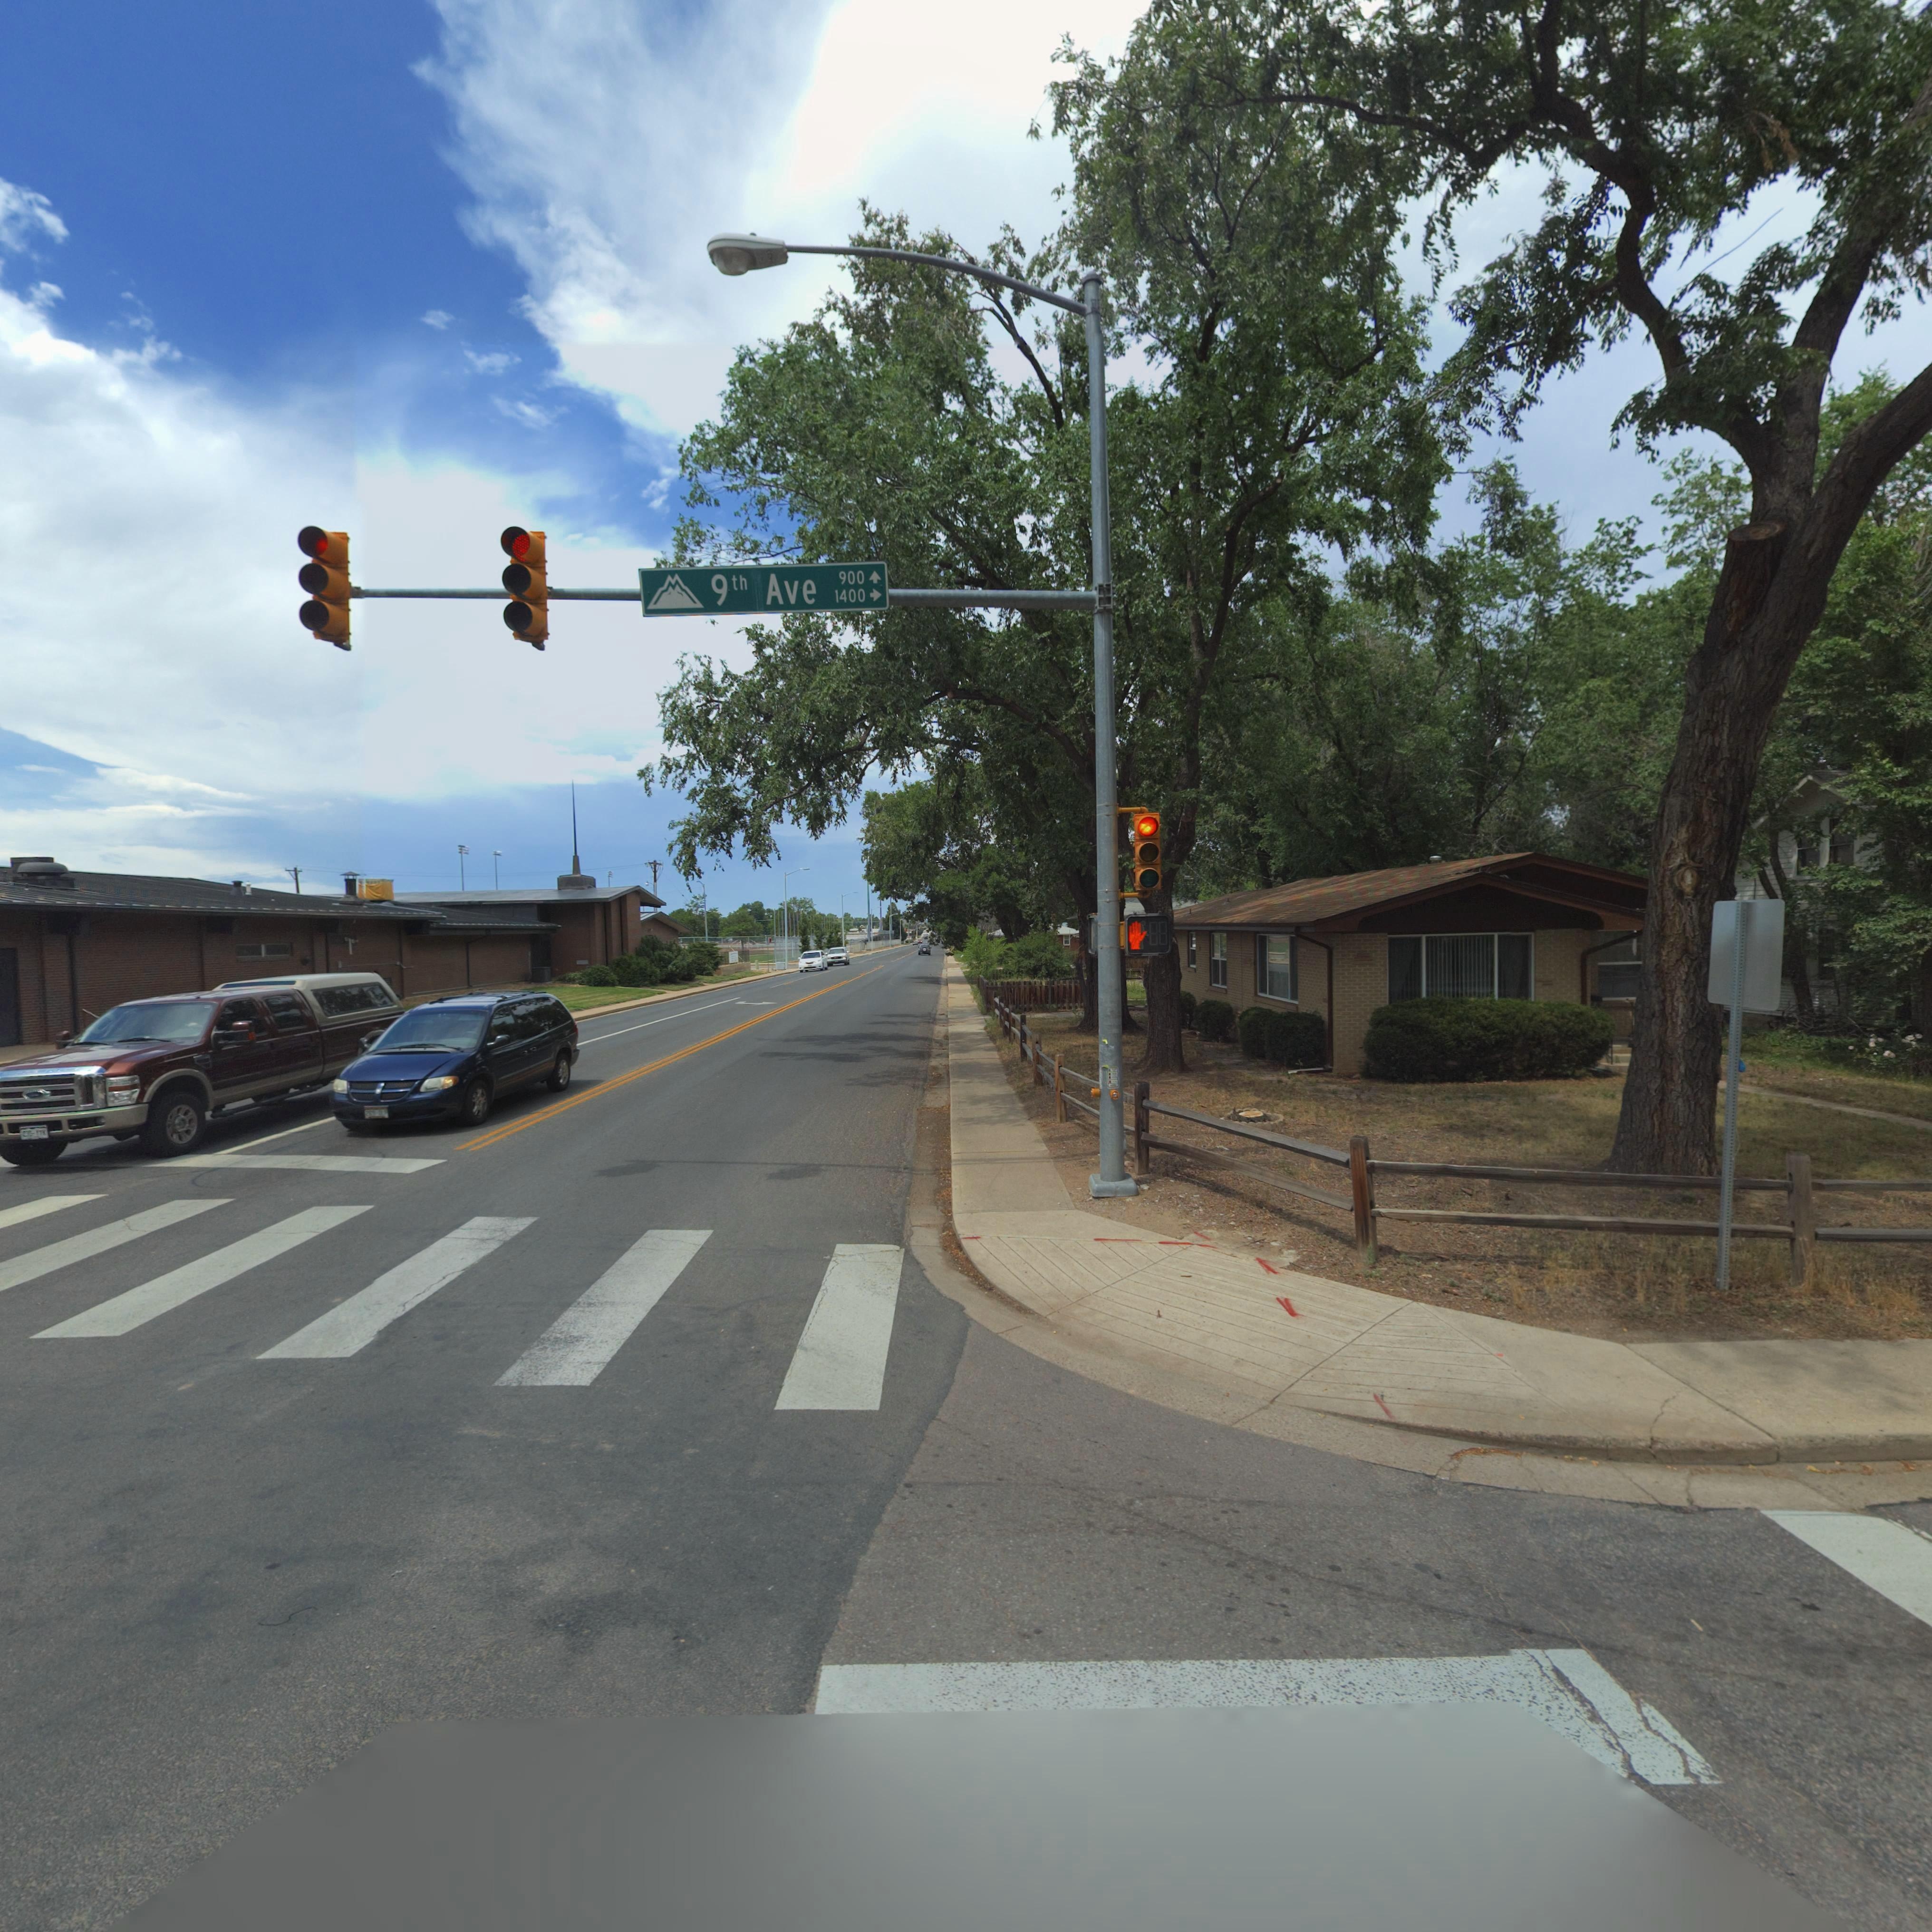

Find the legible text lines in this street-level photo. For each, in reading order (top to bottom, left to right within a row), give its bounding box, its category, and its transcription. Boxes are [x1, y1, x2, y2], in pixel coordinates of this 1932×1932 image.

[838, 570, 865, 585] StreetNumberRange: 900
[710, 572, 817, 607] StreetName: 9th Ave
[834, 588, 882, 603] StreetNumberRange: 1400->